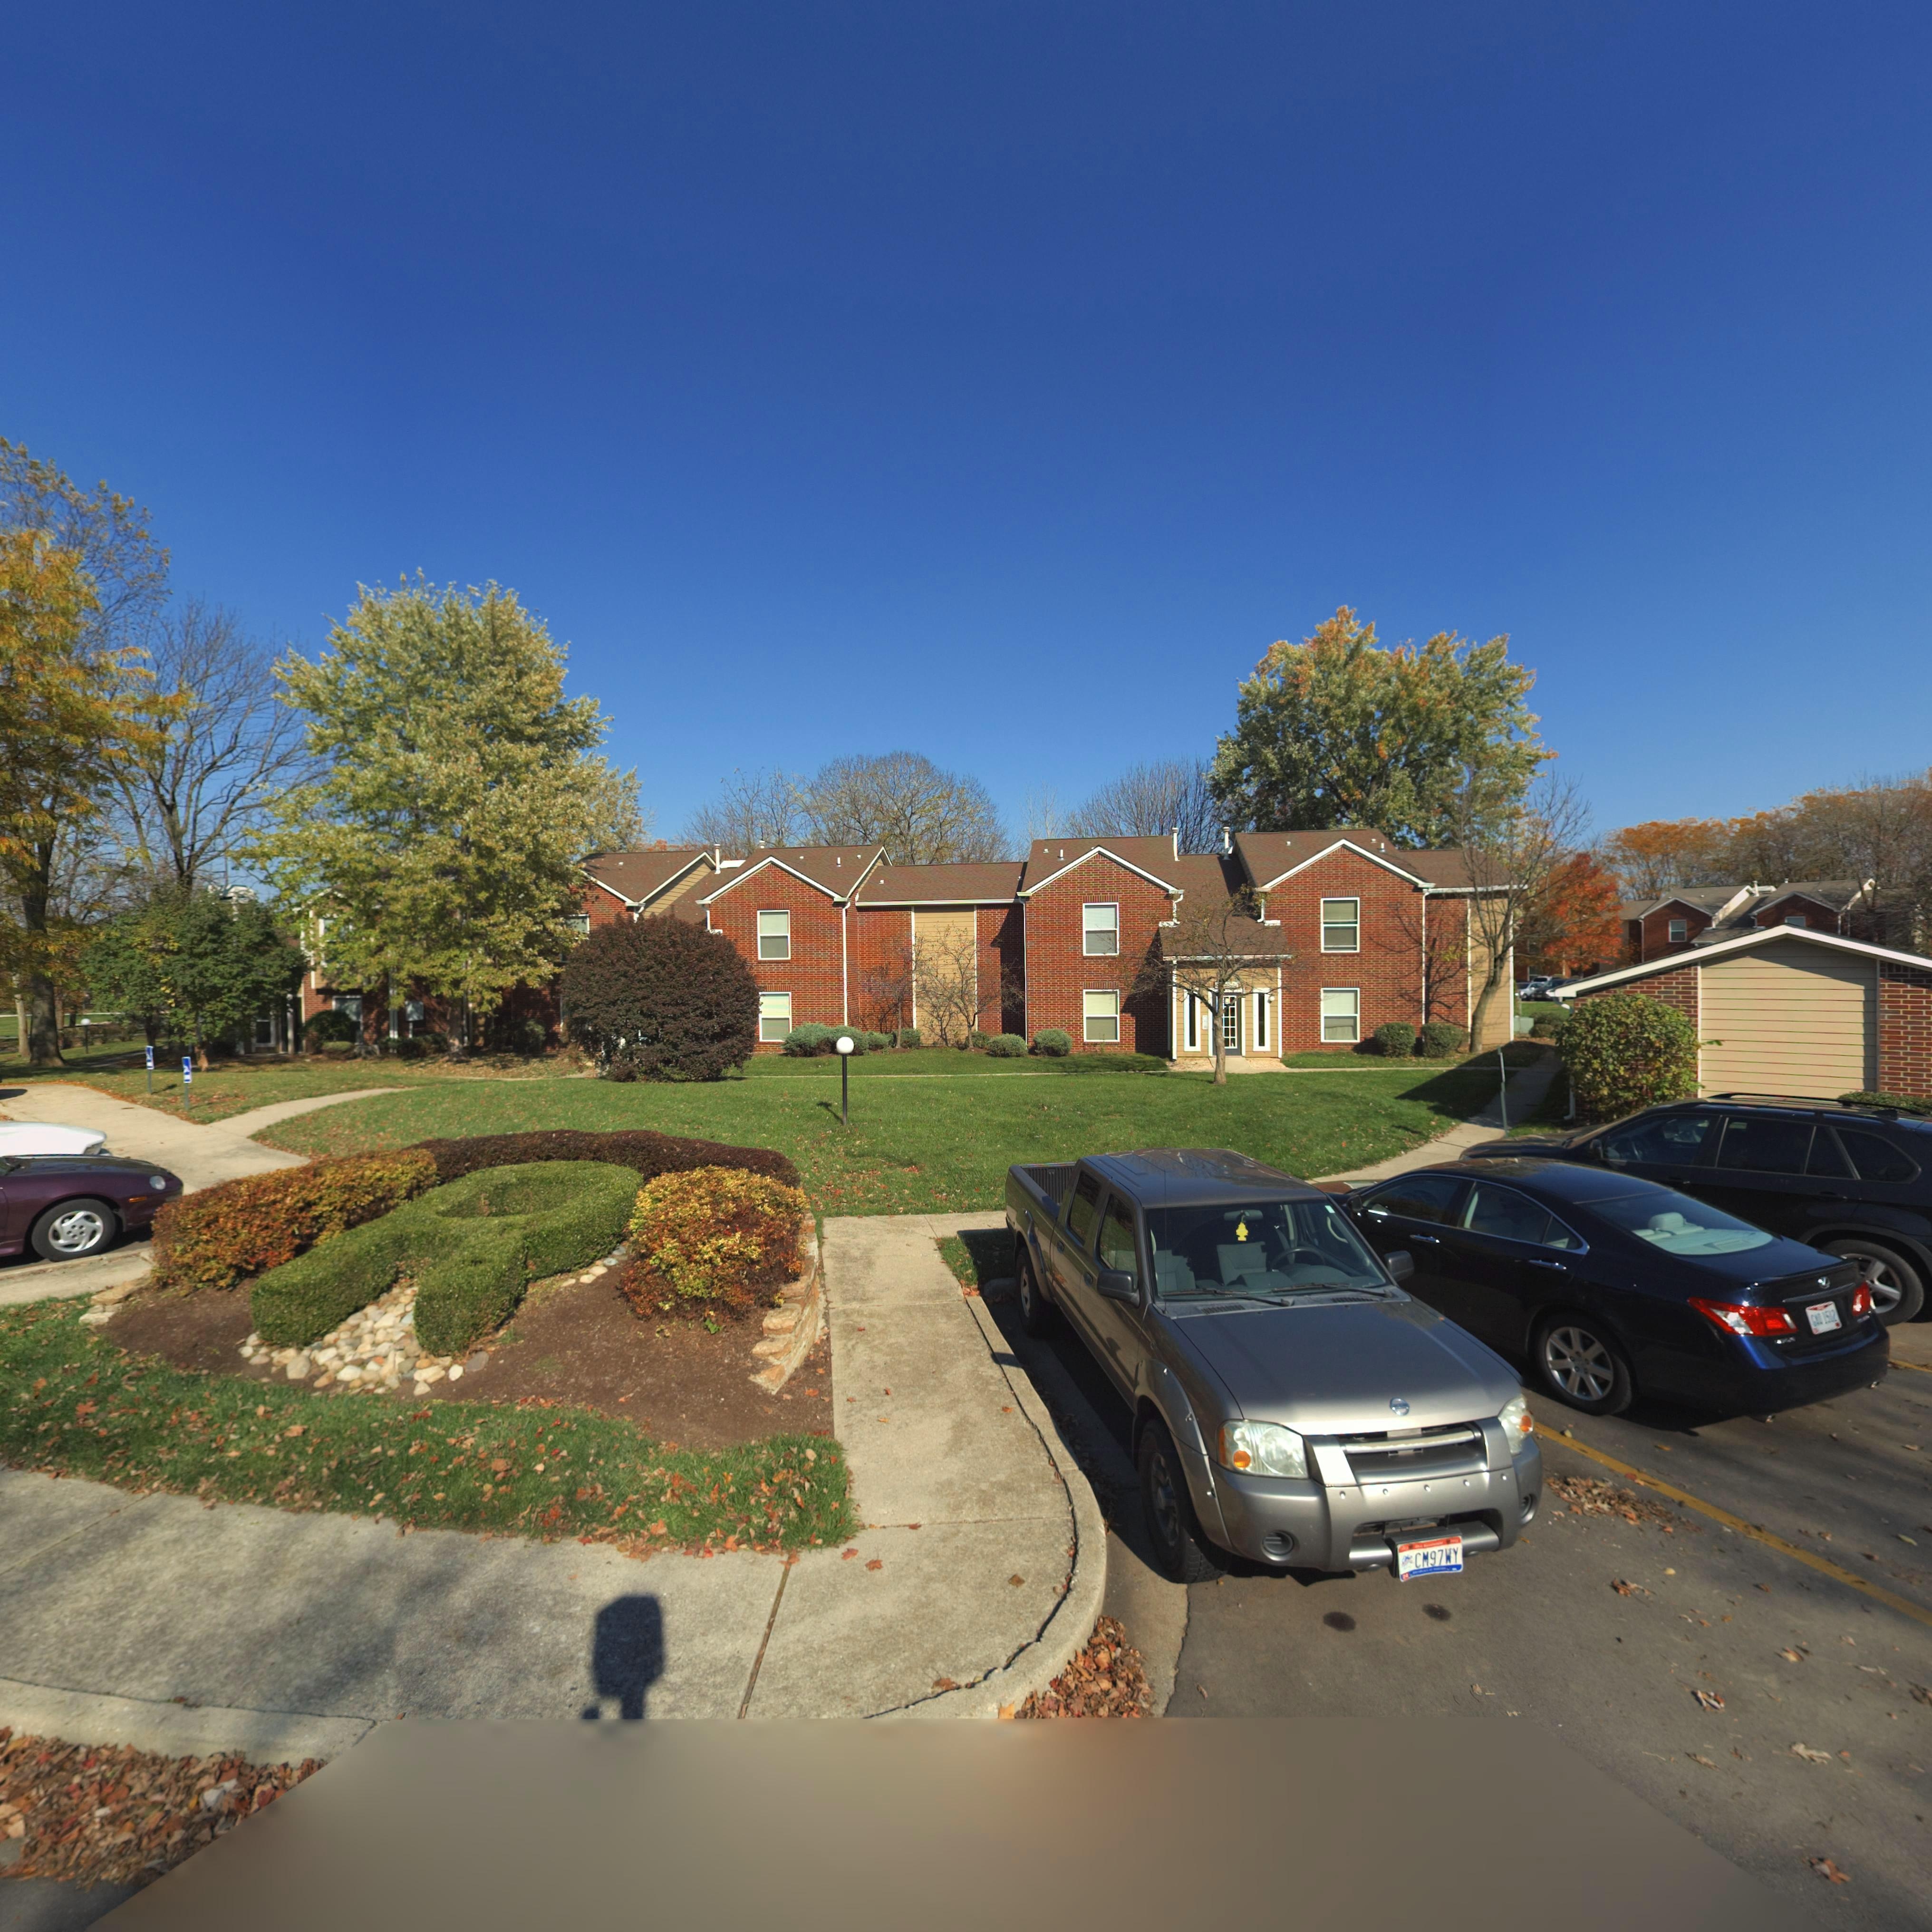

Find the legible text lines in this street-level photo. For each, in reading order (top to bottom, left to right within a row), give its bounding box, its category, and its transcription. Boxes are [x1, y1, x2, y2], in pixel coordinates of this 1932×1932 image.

[1413, 1546, 1460, 1570] None: CM97WY